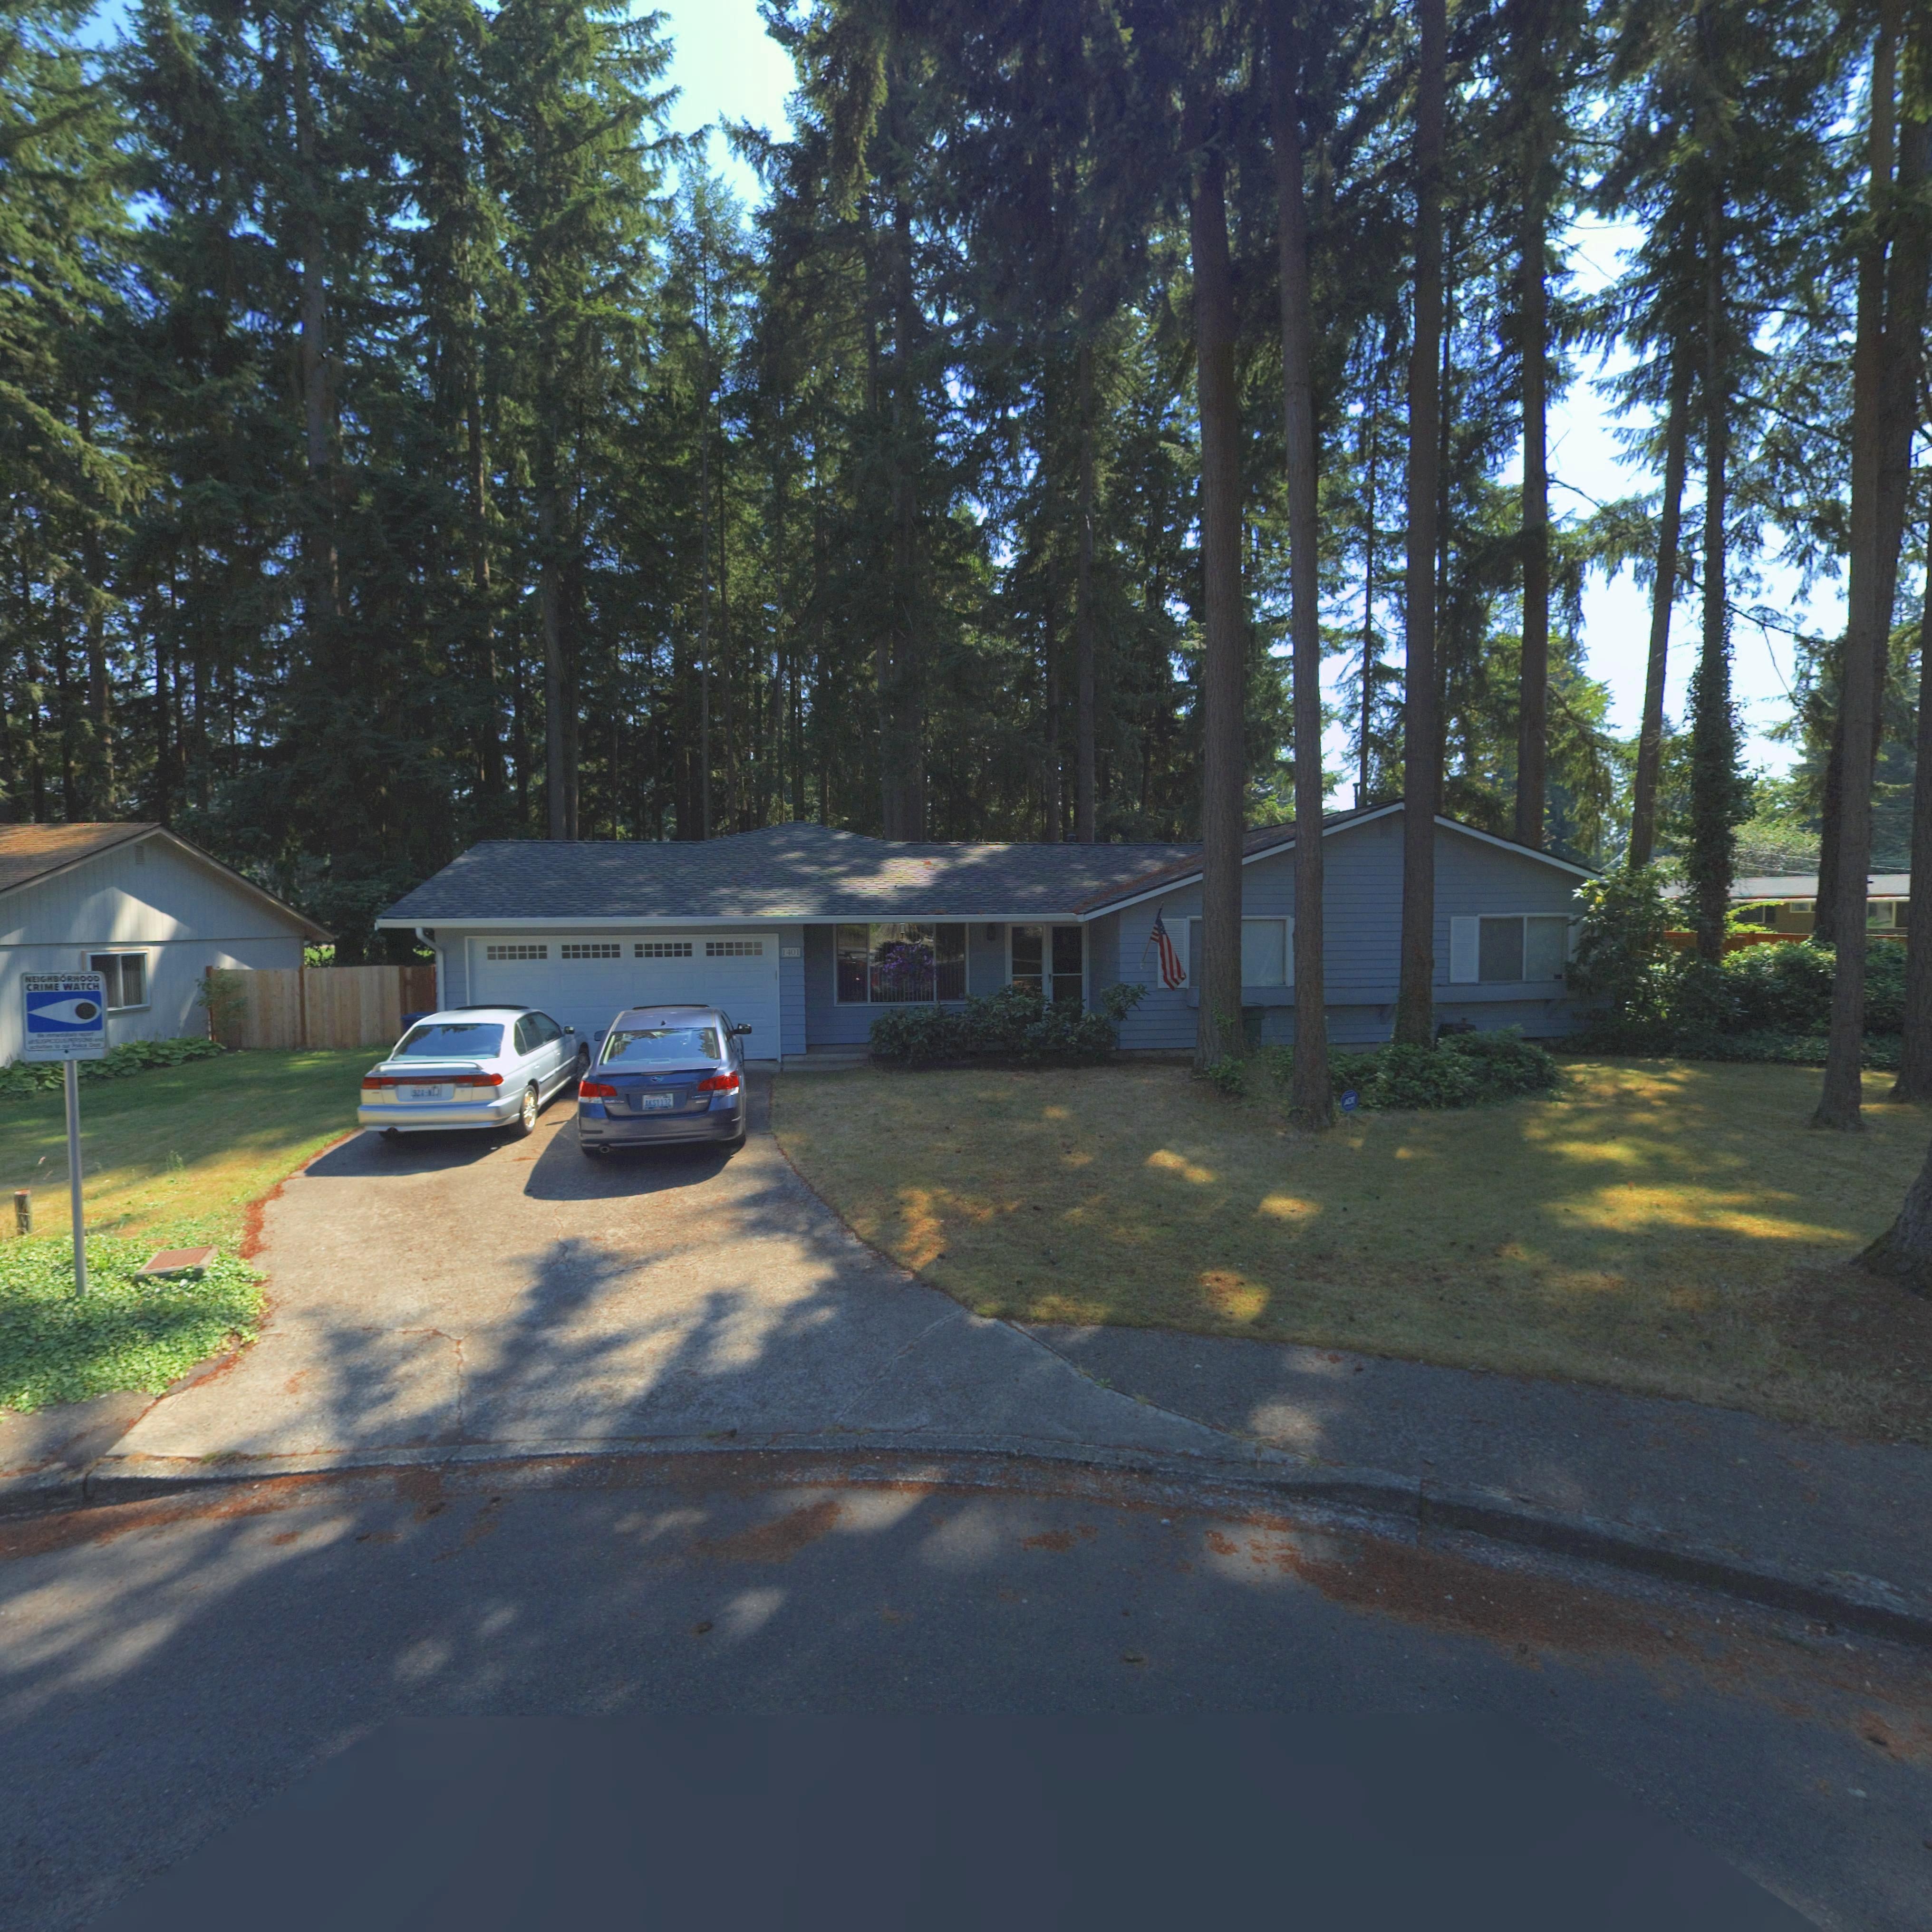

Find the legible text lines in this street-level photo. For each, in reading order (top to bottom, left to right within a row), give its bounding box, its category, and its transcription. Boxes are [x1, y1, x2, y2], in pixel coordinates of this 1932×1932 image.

[782, 947, 800, 957] StreetNumber: 1401